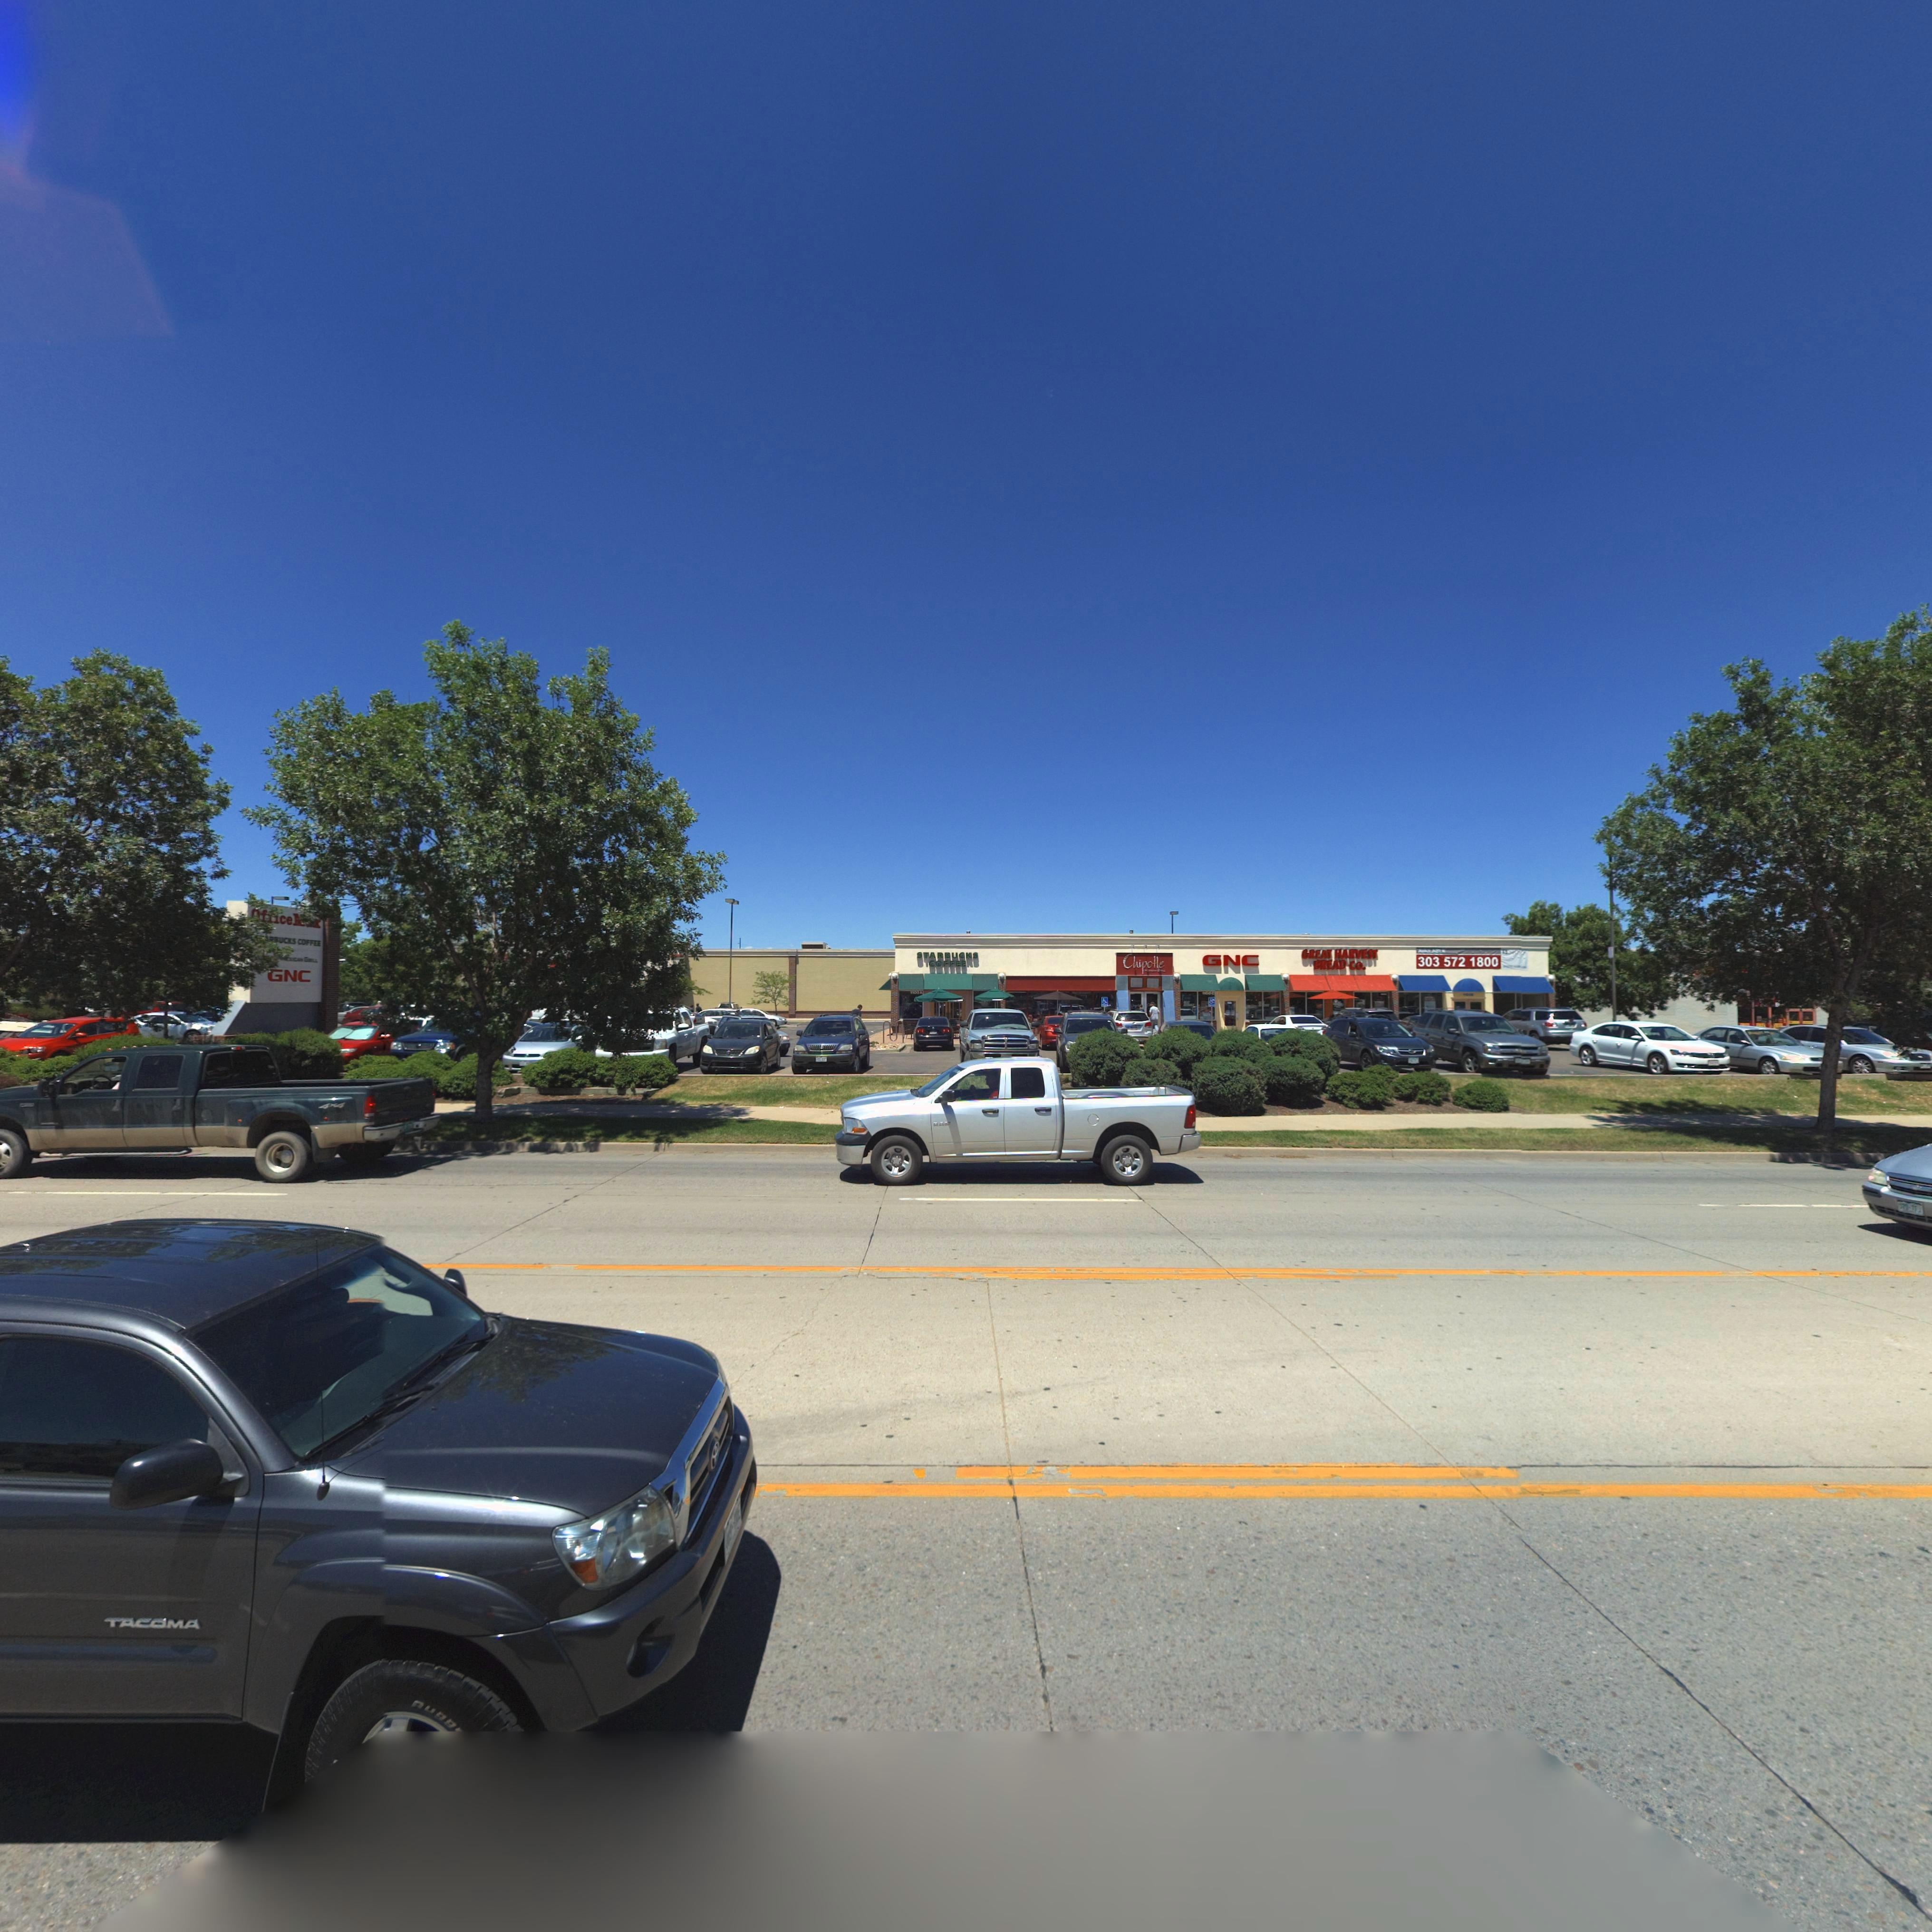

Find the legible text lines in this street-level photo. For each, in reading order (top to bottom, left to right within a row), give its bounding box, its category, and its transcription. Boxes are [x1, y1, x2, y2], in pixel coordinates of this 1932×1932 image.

[251, 907, 321, 928] BusinessName: *f**ce***
[273, 936, 321, 947] BusinessName: BUCKS COFFEE
[286, 956, 318, 963] BusinessName: * XICAN GRILL
[917, 952, 978, 959] BusinessName: STARBUCKS
[928, 960, 966, 967] BusinessName: COFFEE
[1122, 953, 1165, 974] BusinessName: Chipotle
[1202, 954, 1259, 966] BusinessName: GNC
[1313, 959, 1363, 970] BusinessName: BREAD CO
[1301, 948, 1378, 959] BusinessName: GREAT HARVEST
[267, 968, 311, 982] BusinessName: GNC
[909, 990, 922, 994] StreetNumber: 1*00*